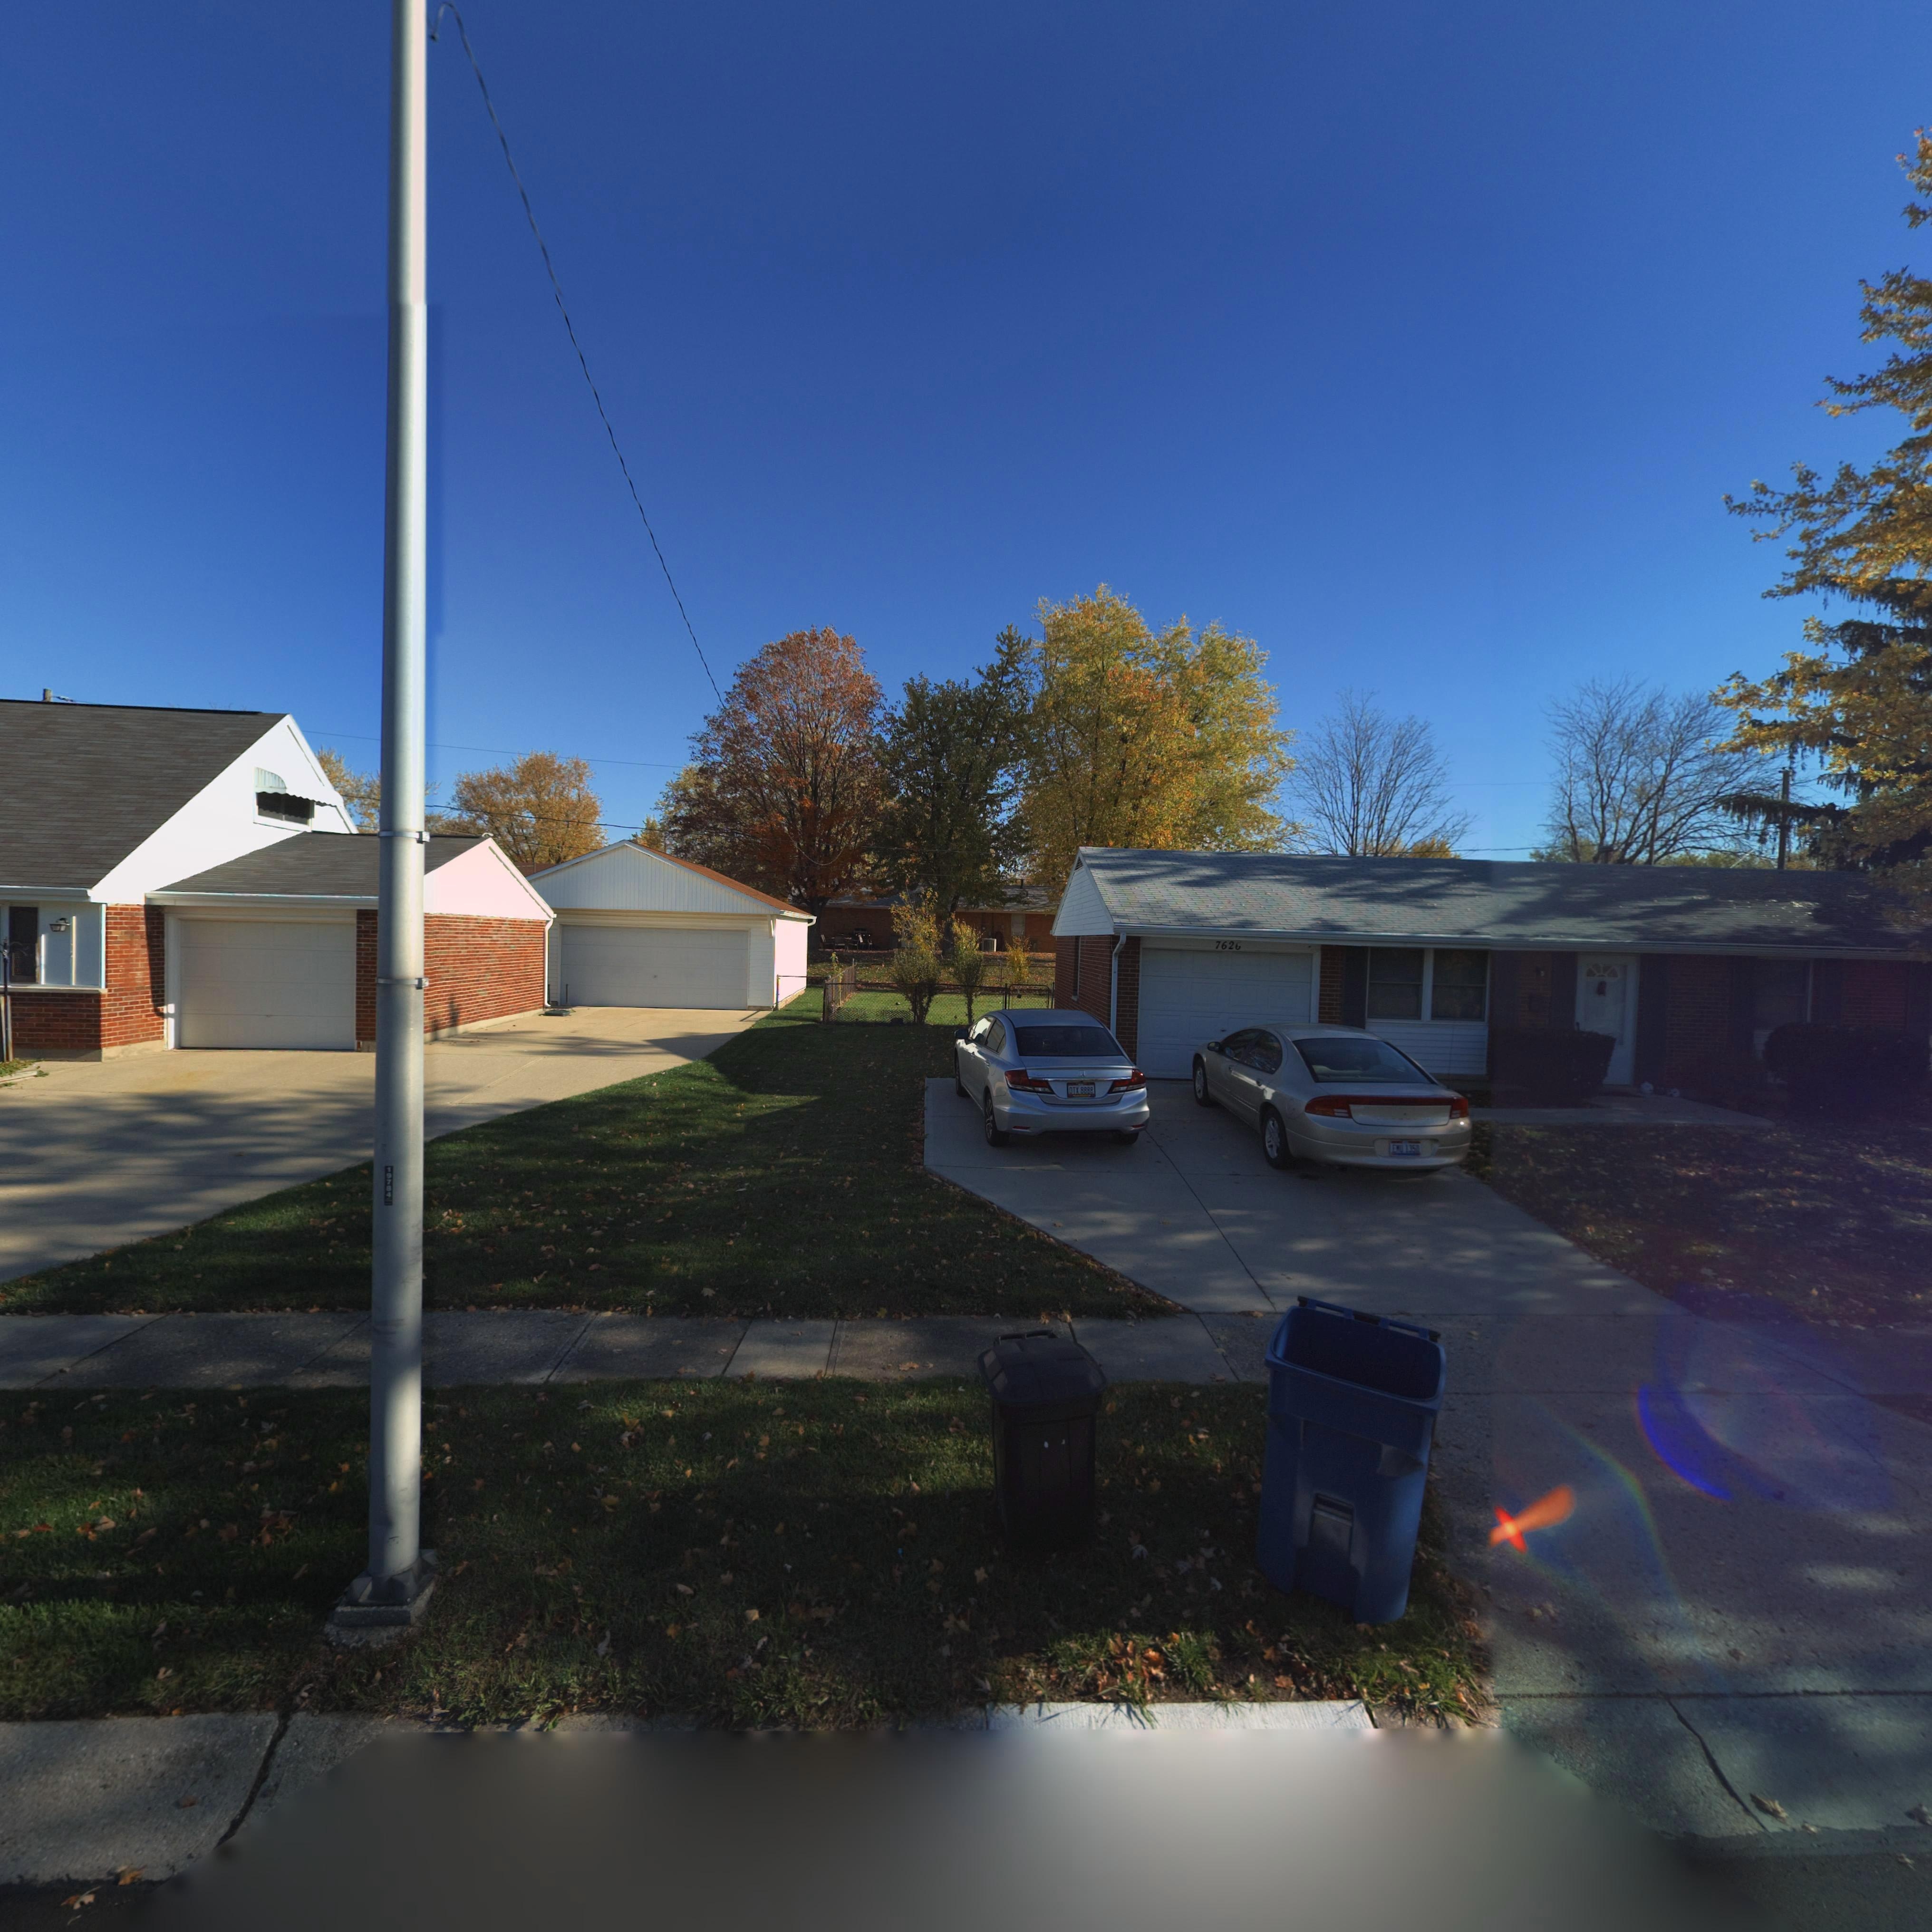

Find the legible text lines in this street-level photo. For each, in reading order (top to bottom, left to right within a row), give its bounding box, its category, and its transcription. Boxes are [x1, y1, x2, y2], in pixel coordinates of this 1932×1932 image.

[1215, 940, 1242, 951] StreetNumber: 762*